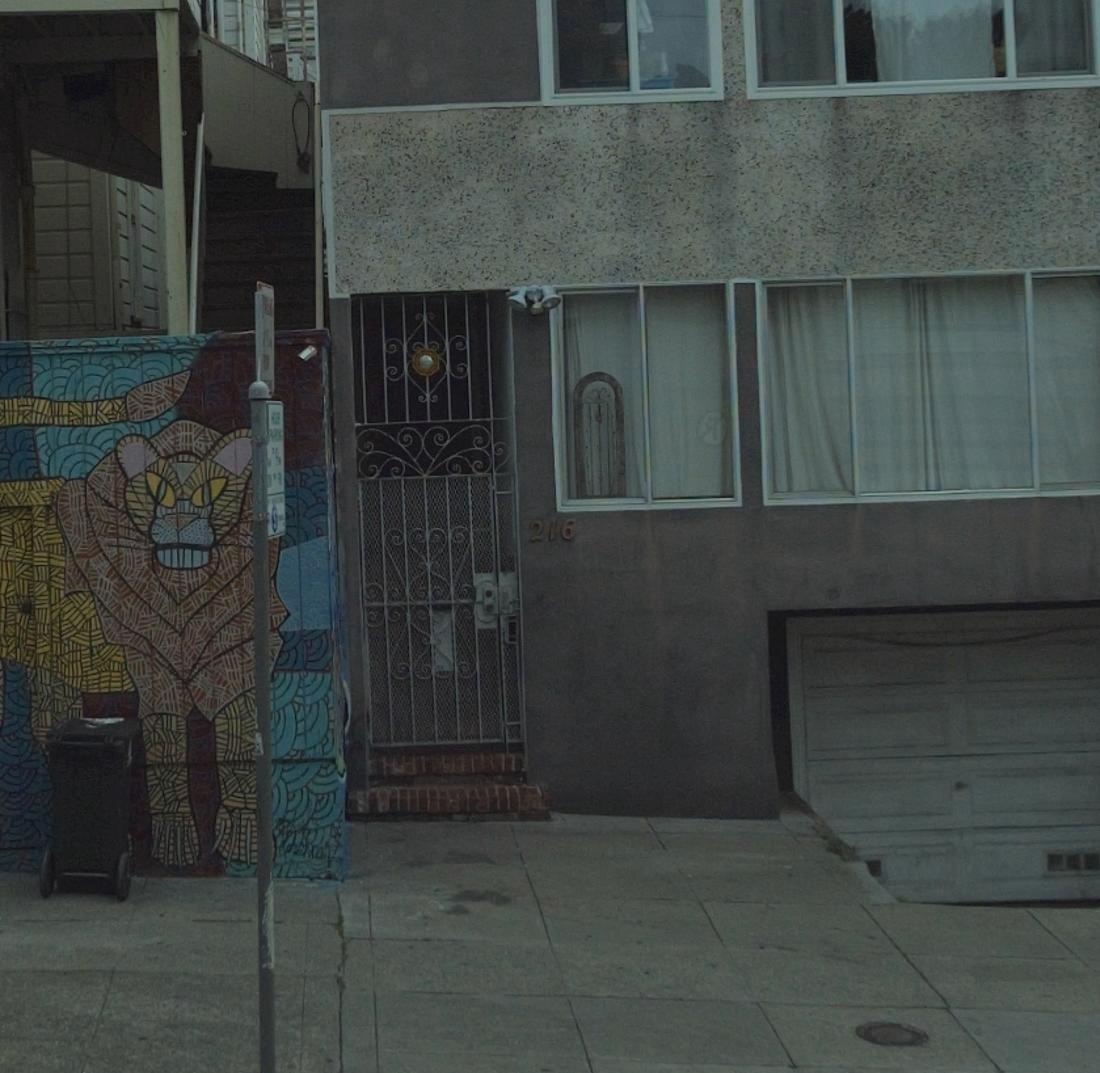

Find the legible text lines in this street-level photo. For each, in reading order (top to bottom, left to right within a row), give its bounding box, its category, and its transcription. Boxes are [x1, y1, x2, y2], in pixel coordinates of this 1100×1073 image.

[527, 517, 576, 544] StreetNumber: 216